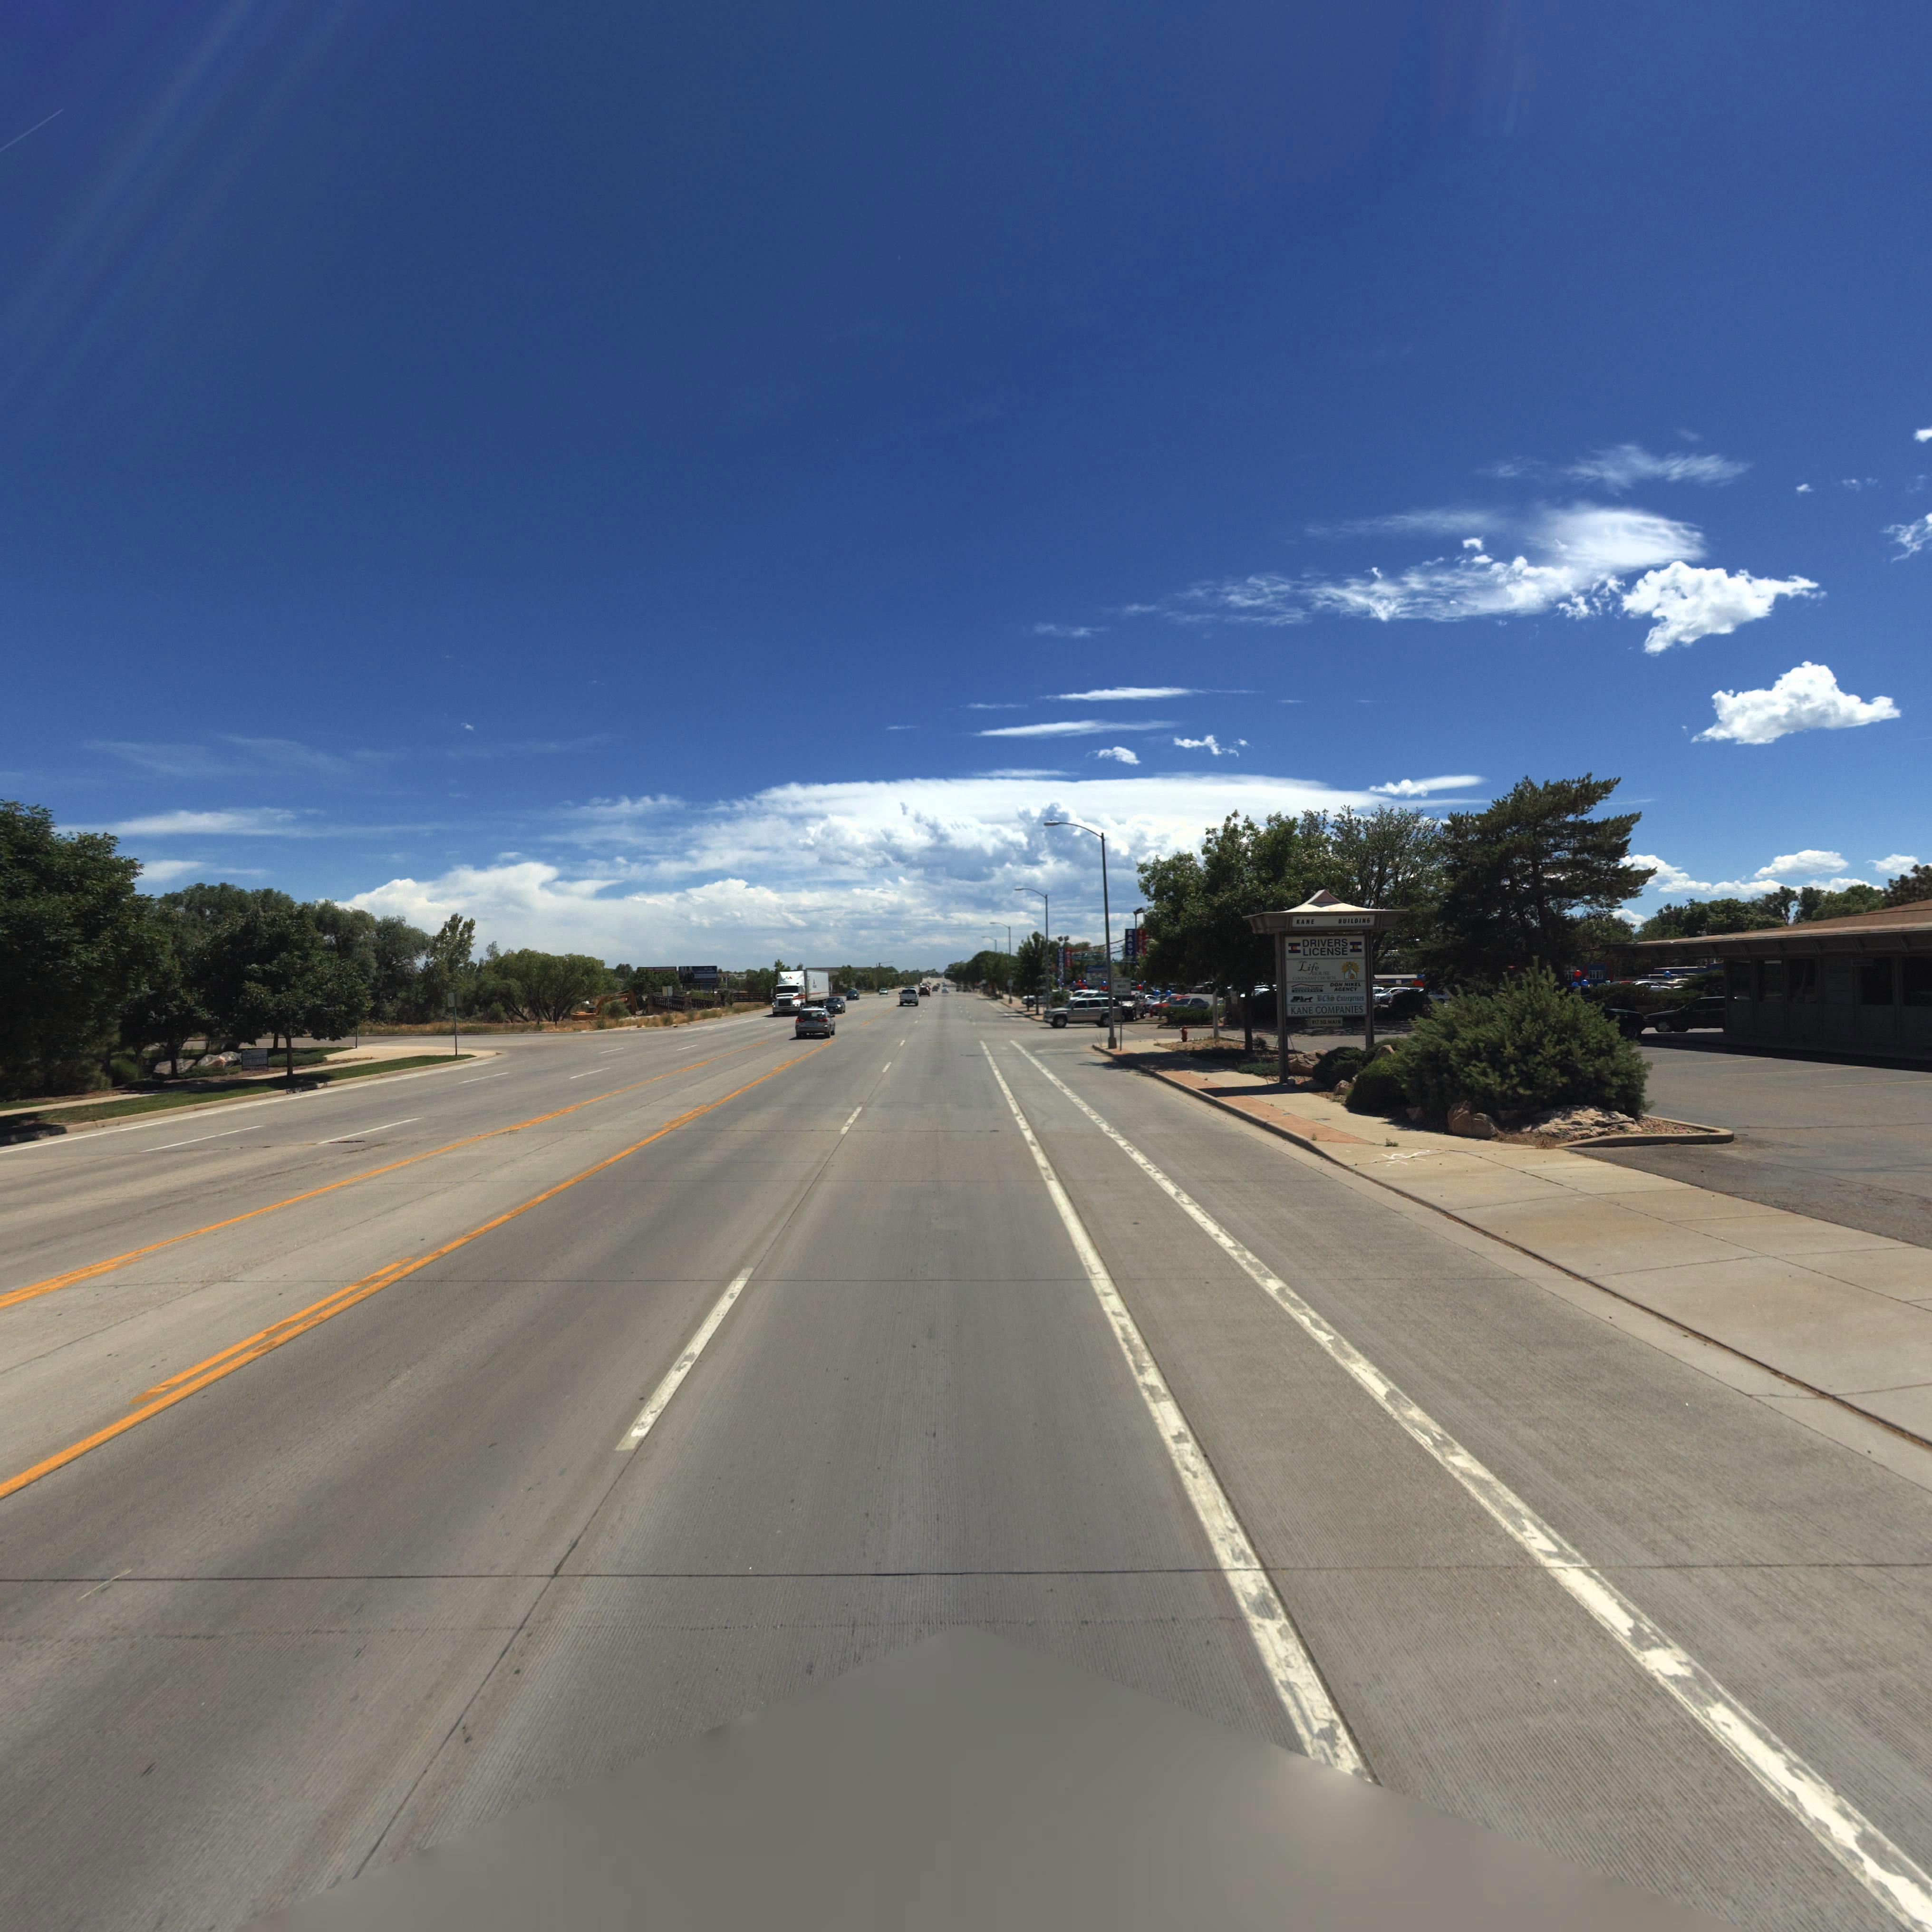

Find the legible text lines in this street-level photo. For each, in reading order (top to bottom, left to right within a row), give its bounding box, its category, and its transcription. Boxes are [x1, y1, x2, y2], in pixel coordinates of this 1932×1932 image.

[1086, 966, 1110, 971] BusinessName: Sp*******
[1297, 960, 1320, 975] BusinessName: Life
[1312, 971, 1331, 976] BusinessName: HOUSE
[1292, 975, 1336, 980] BusinessName: COV*NANT CH**CH
[1294, 989, 1321, 992] BusinessName: IN***A***
[1292, 986, 1323, 990] BusinessName: *ME**CAN *AM***
[1316, 995, 1364, 1002] BusinessName: *CIS Enterprises
[1290, 1005, 1363, 1014] BusinessName: KANE COMPANIES
[1311, 1020, 1319, 1025] StreetNumber: 917
[1319, 1019, 1341, 1024] StreetName: SO. MAIN